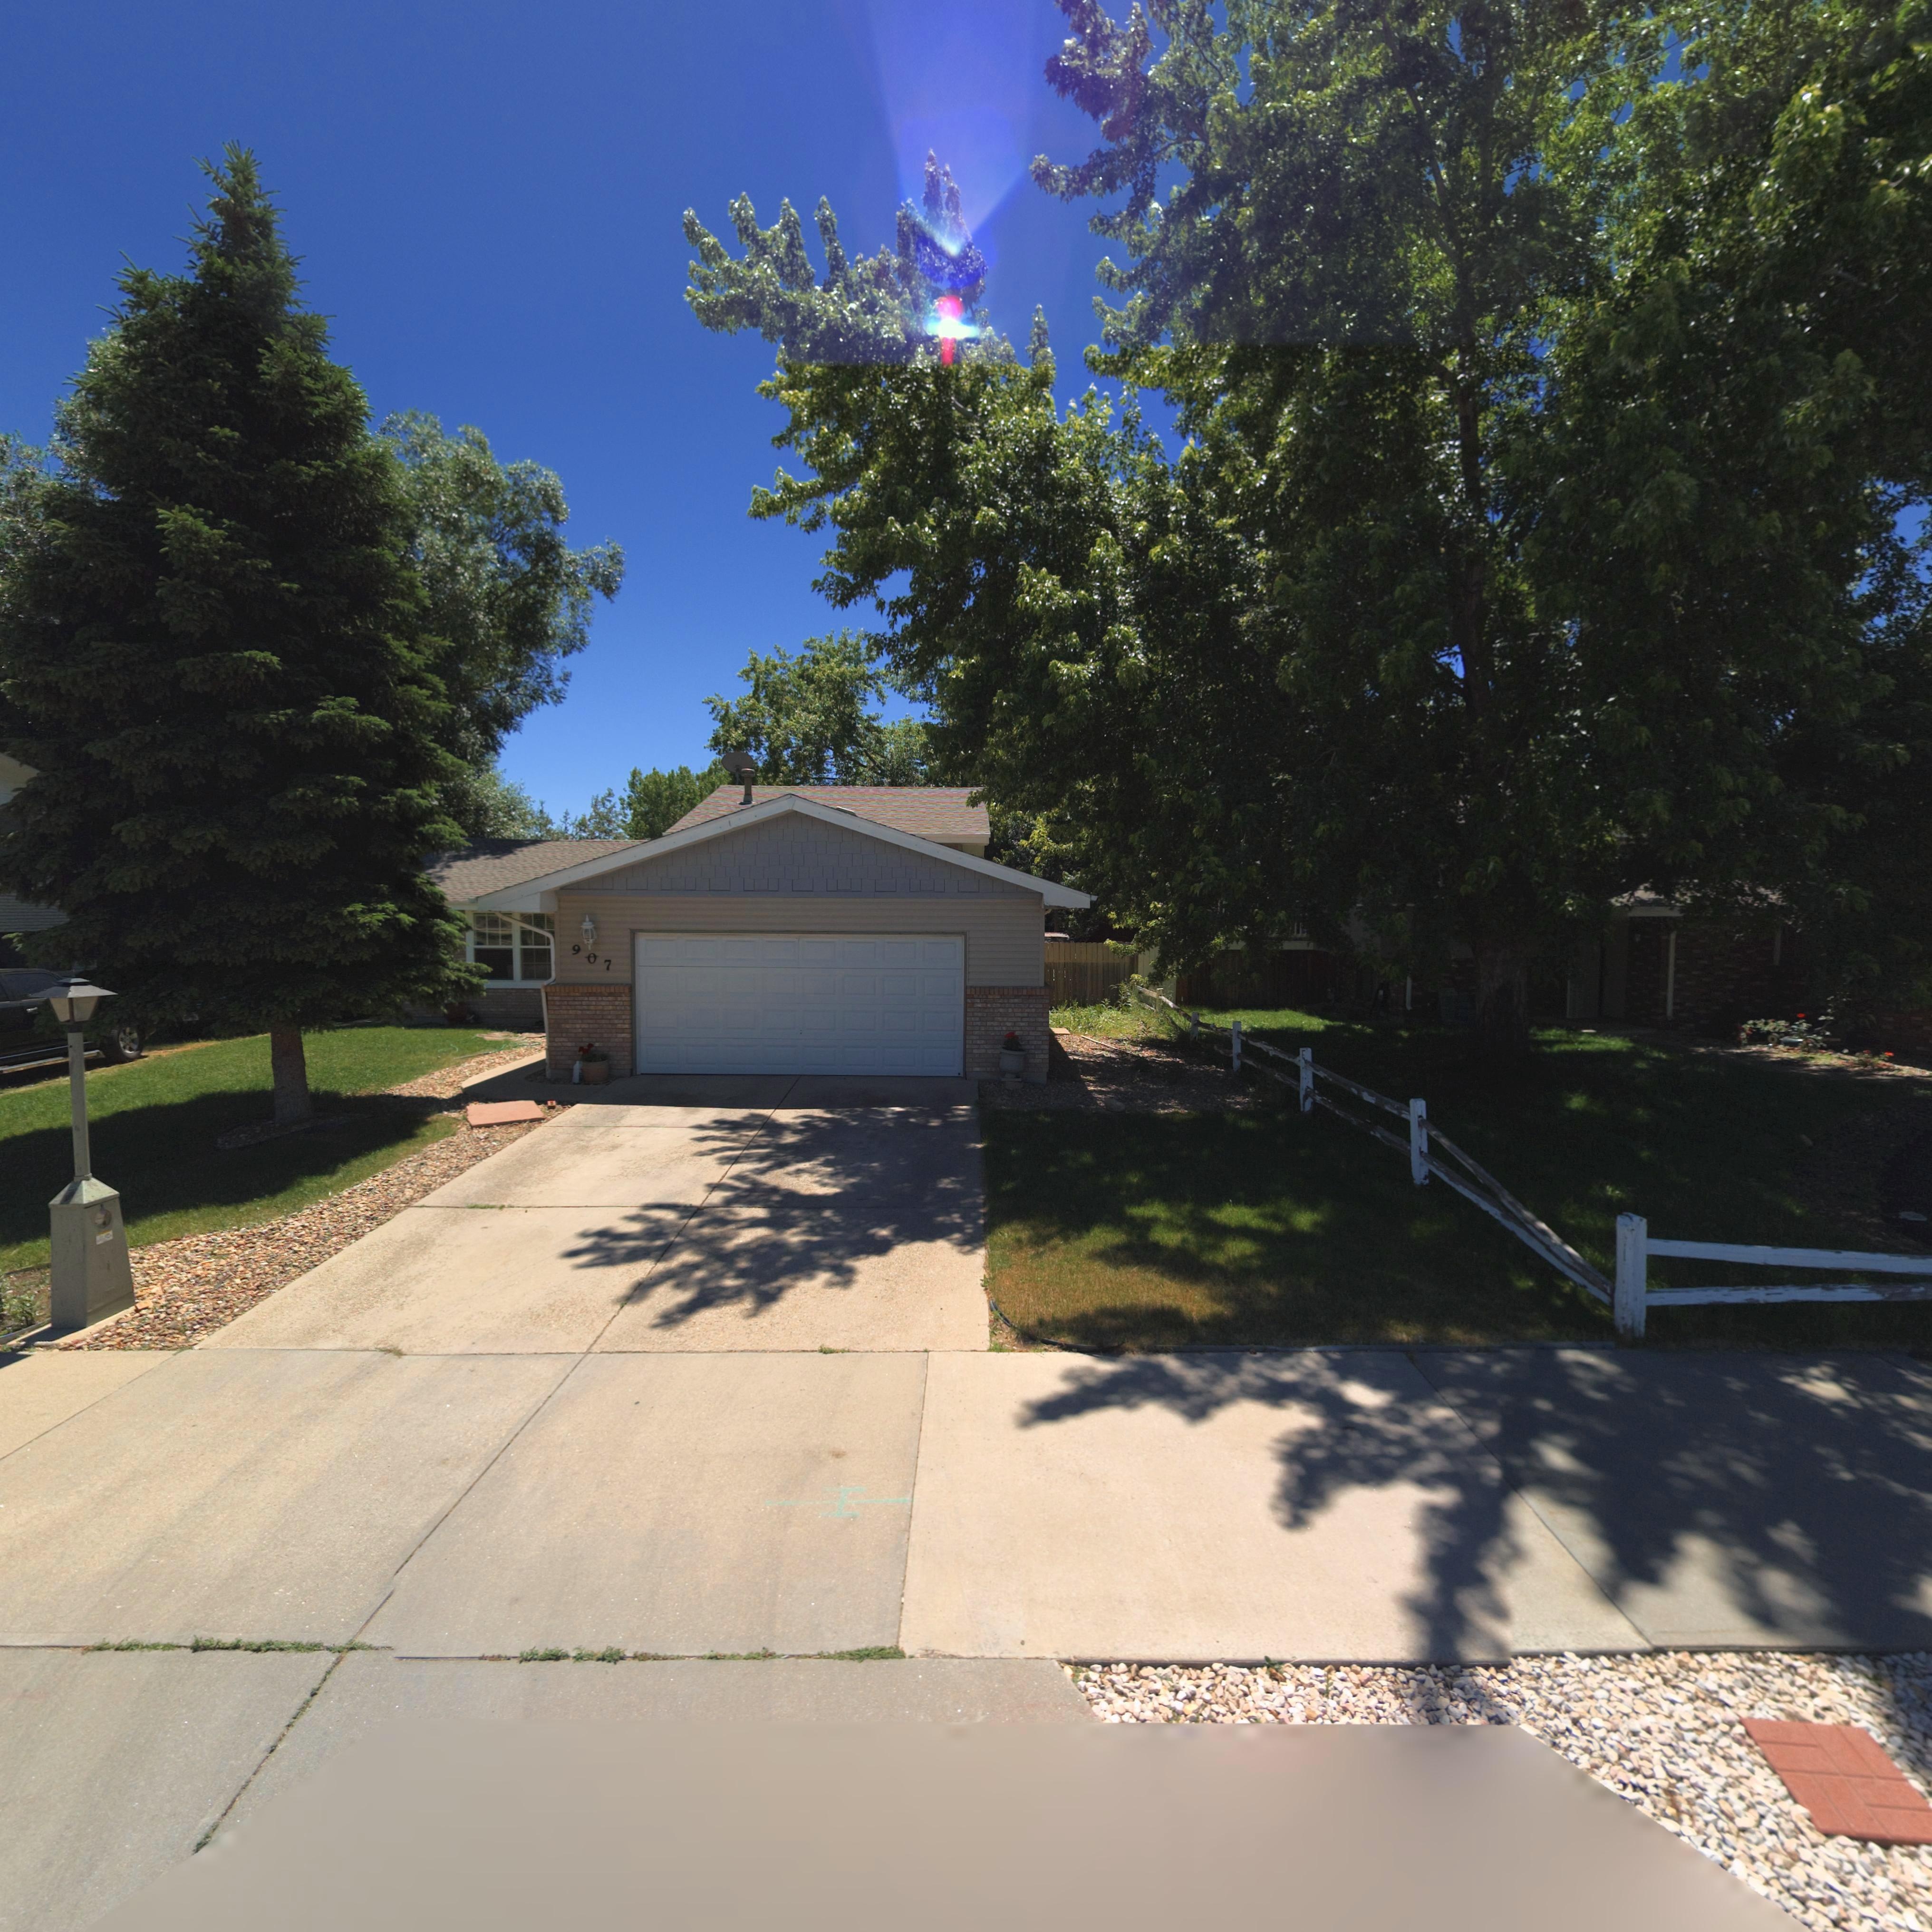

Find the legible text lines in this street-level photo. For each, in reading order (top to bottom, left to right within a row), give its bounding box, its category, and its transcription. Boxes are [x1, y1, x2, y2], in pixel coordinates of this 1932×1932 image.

[570, 943, 611, 971] StreetNumber: 907